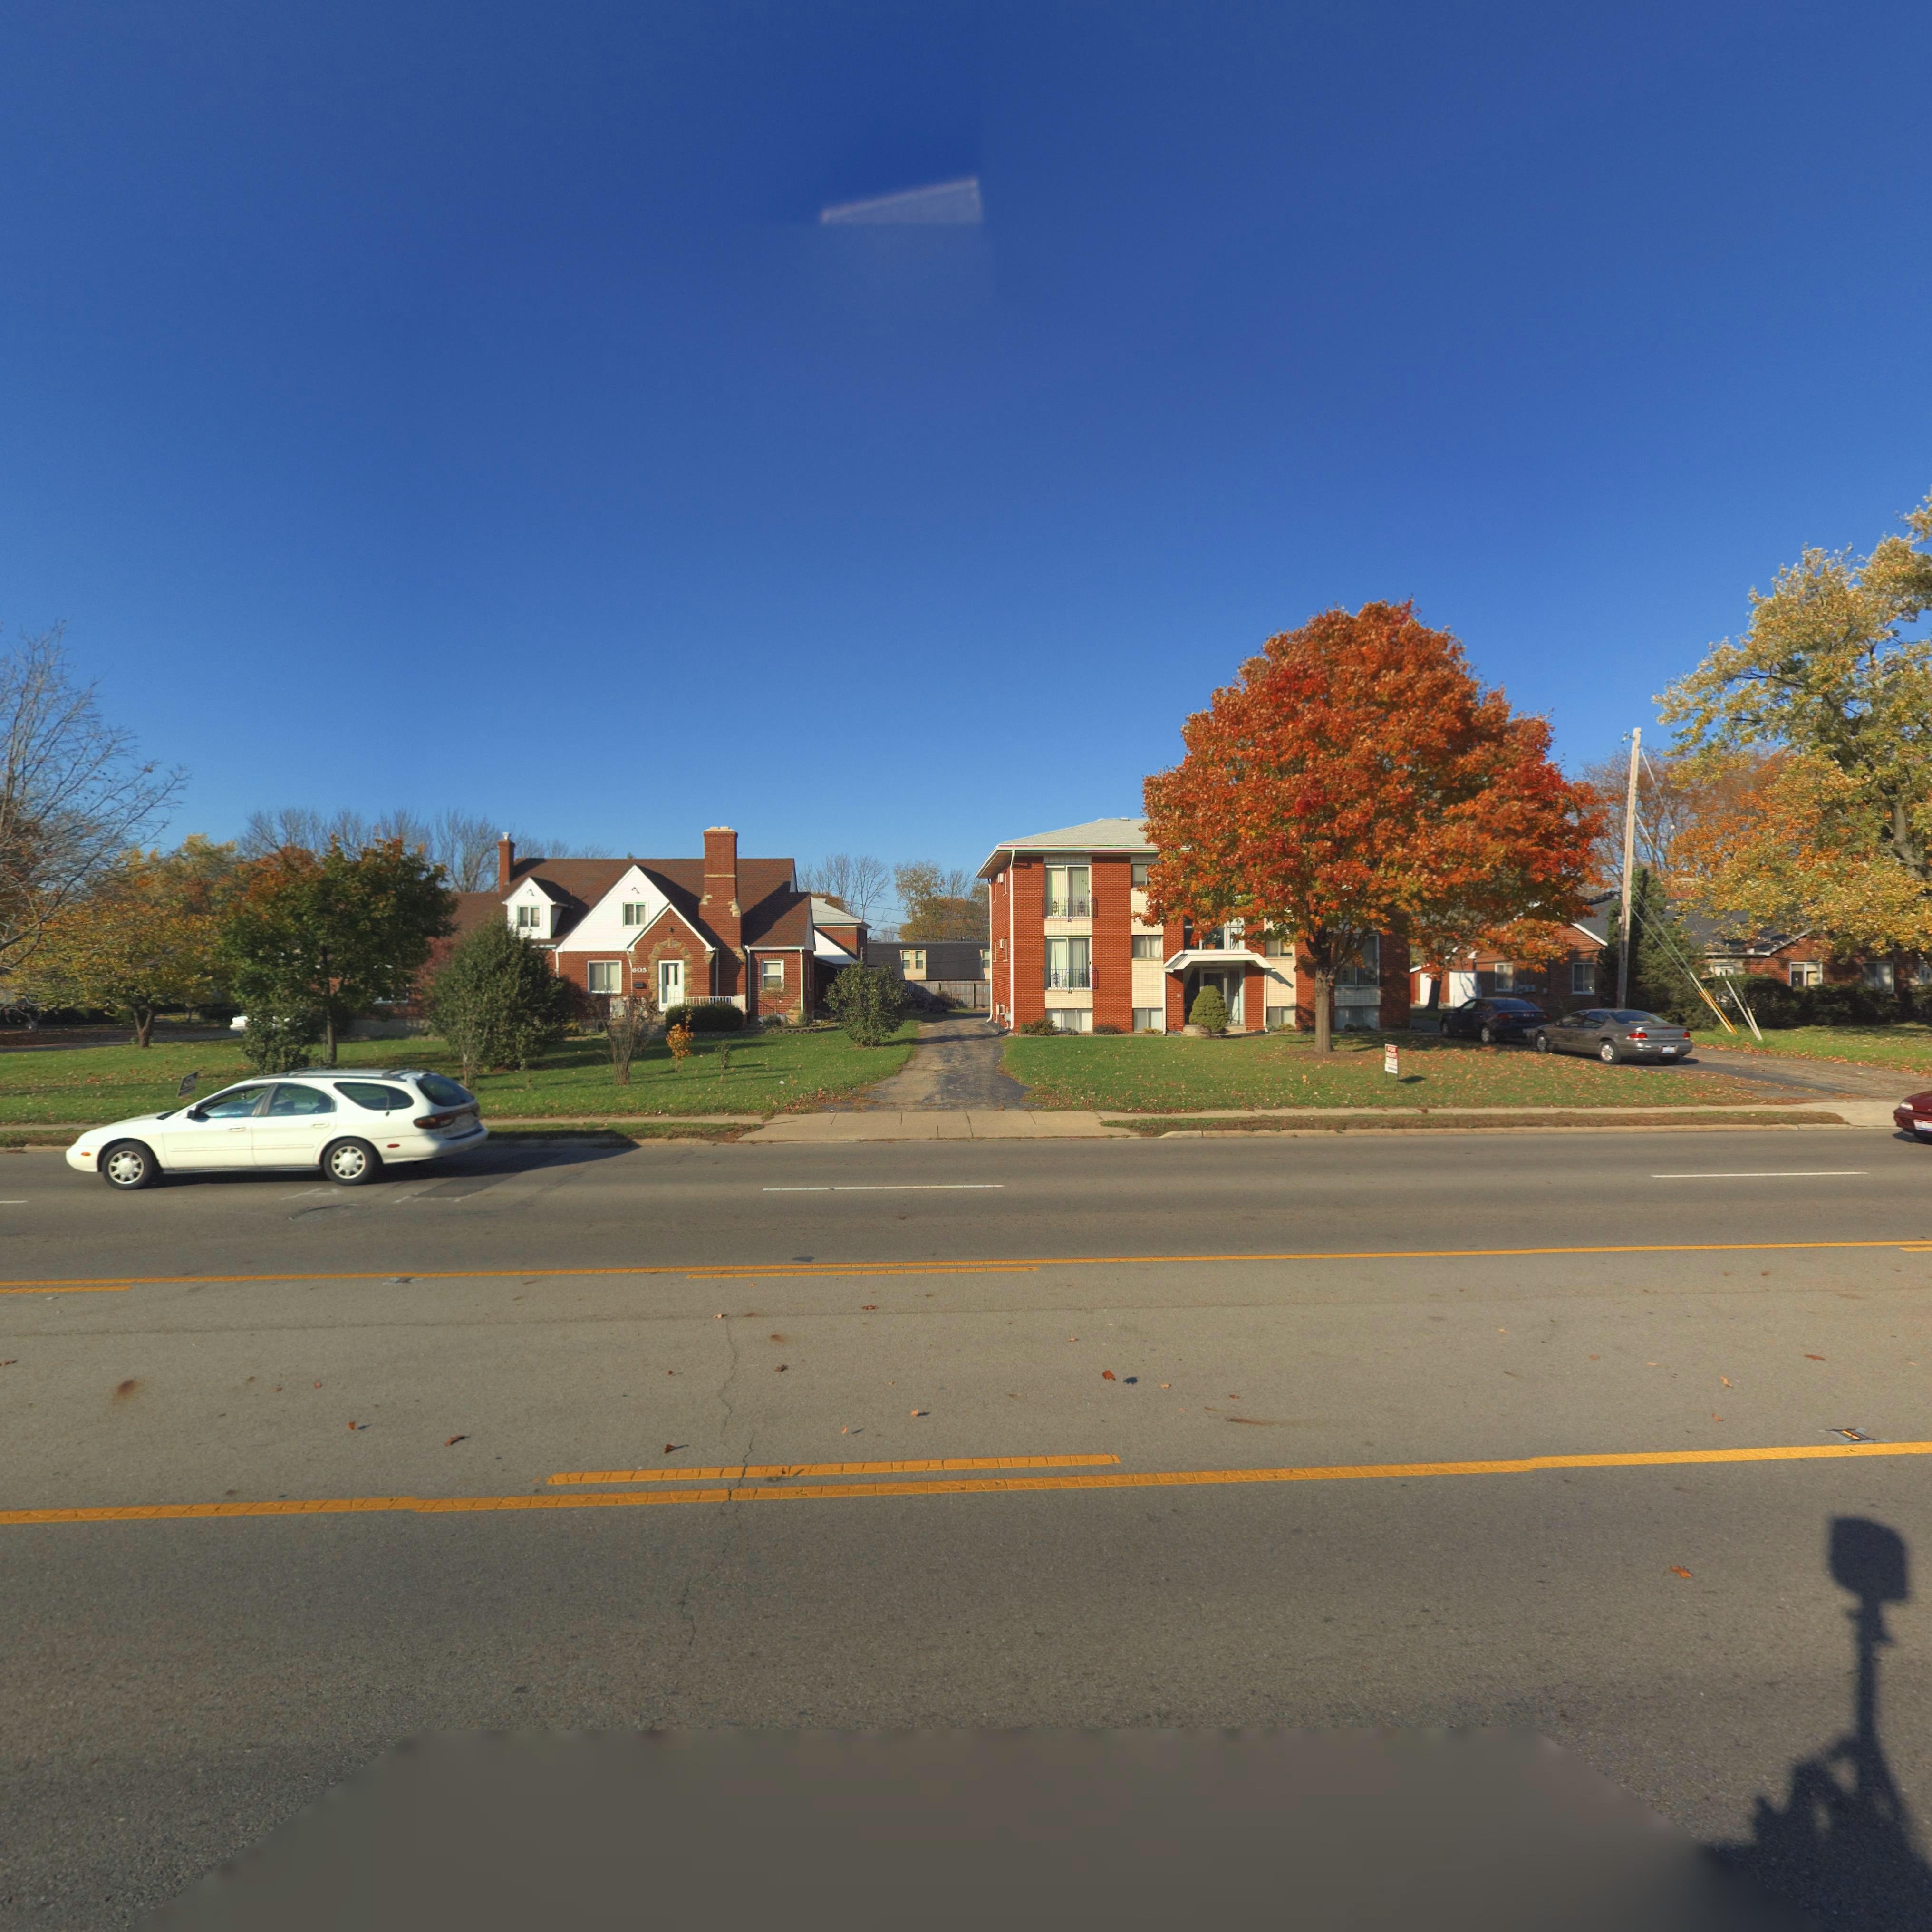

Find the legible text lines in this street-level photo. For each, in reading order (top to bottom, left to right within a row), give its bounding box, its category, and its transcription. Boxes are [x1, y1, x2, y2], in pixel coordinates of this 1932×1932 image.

[631, 967, 647, 973] StreetNumber: 605